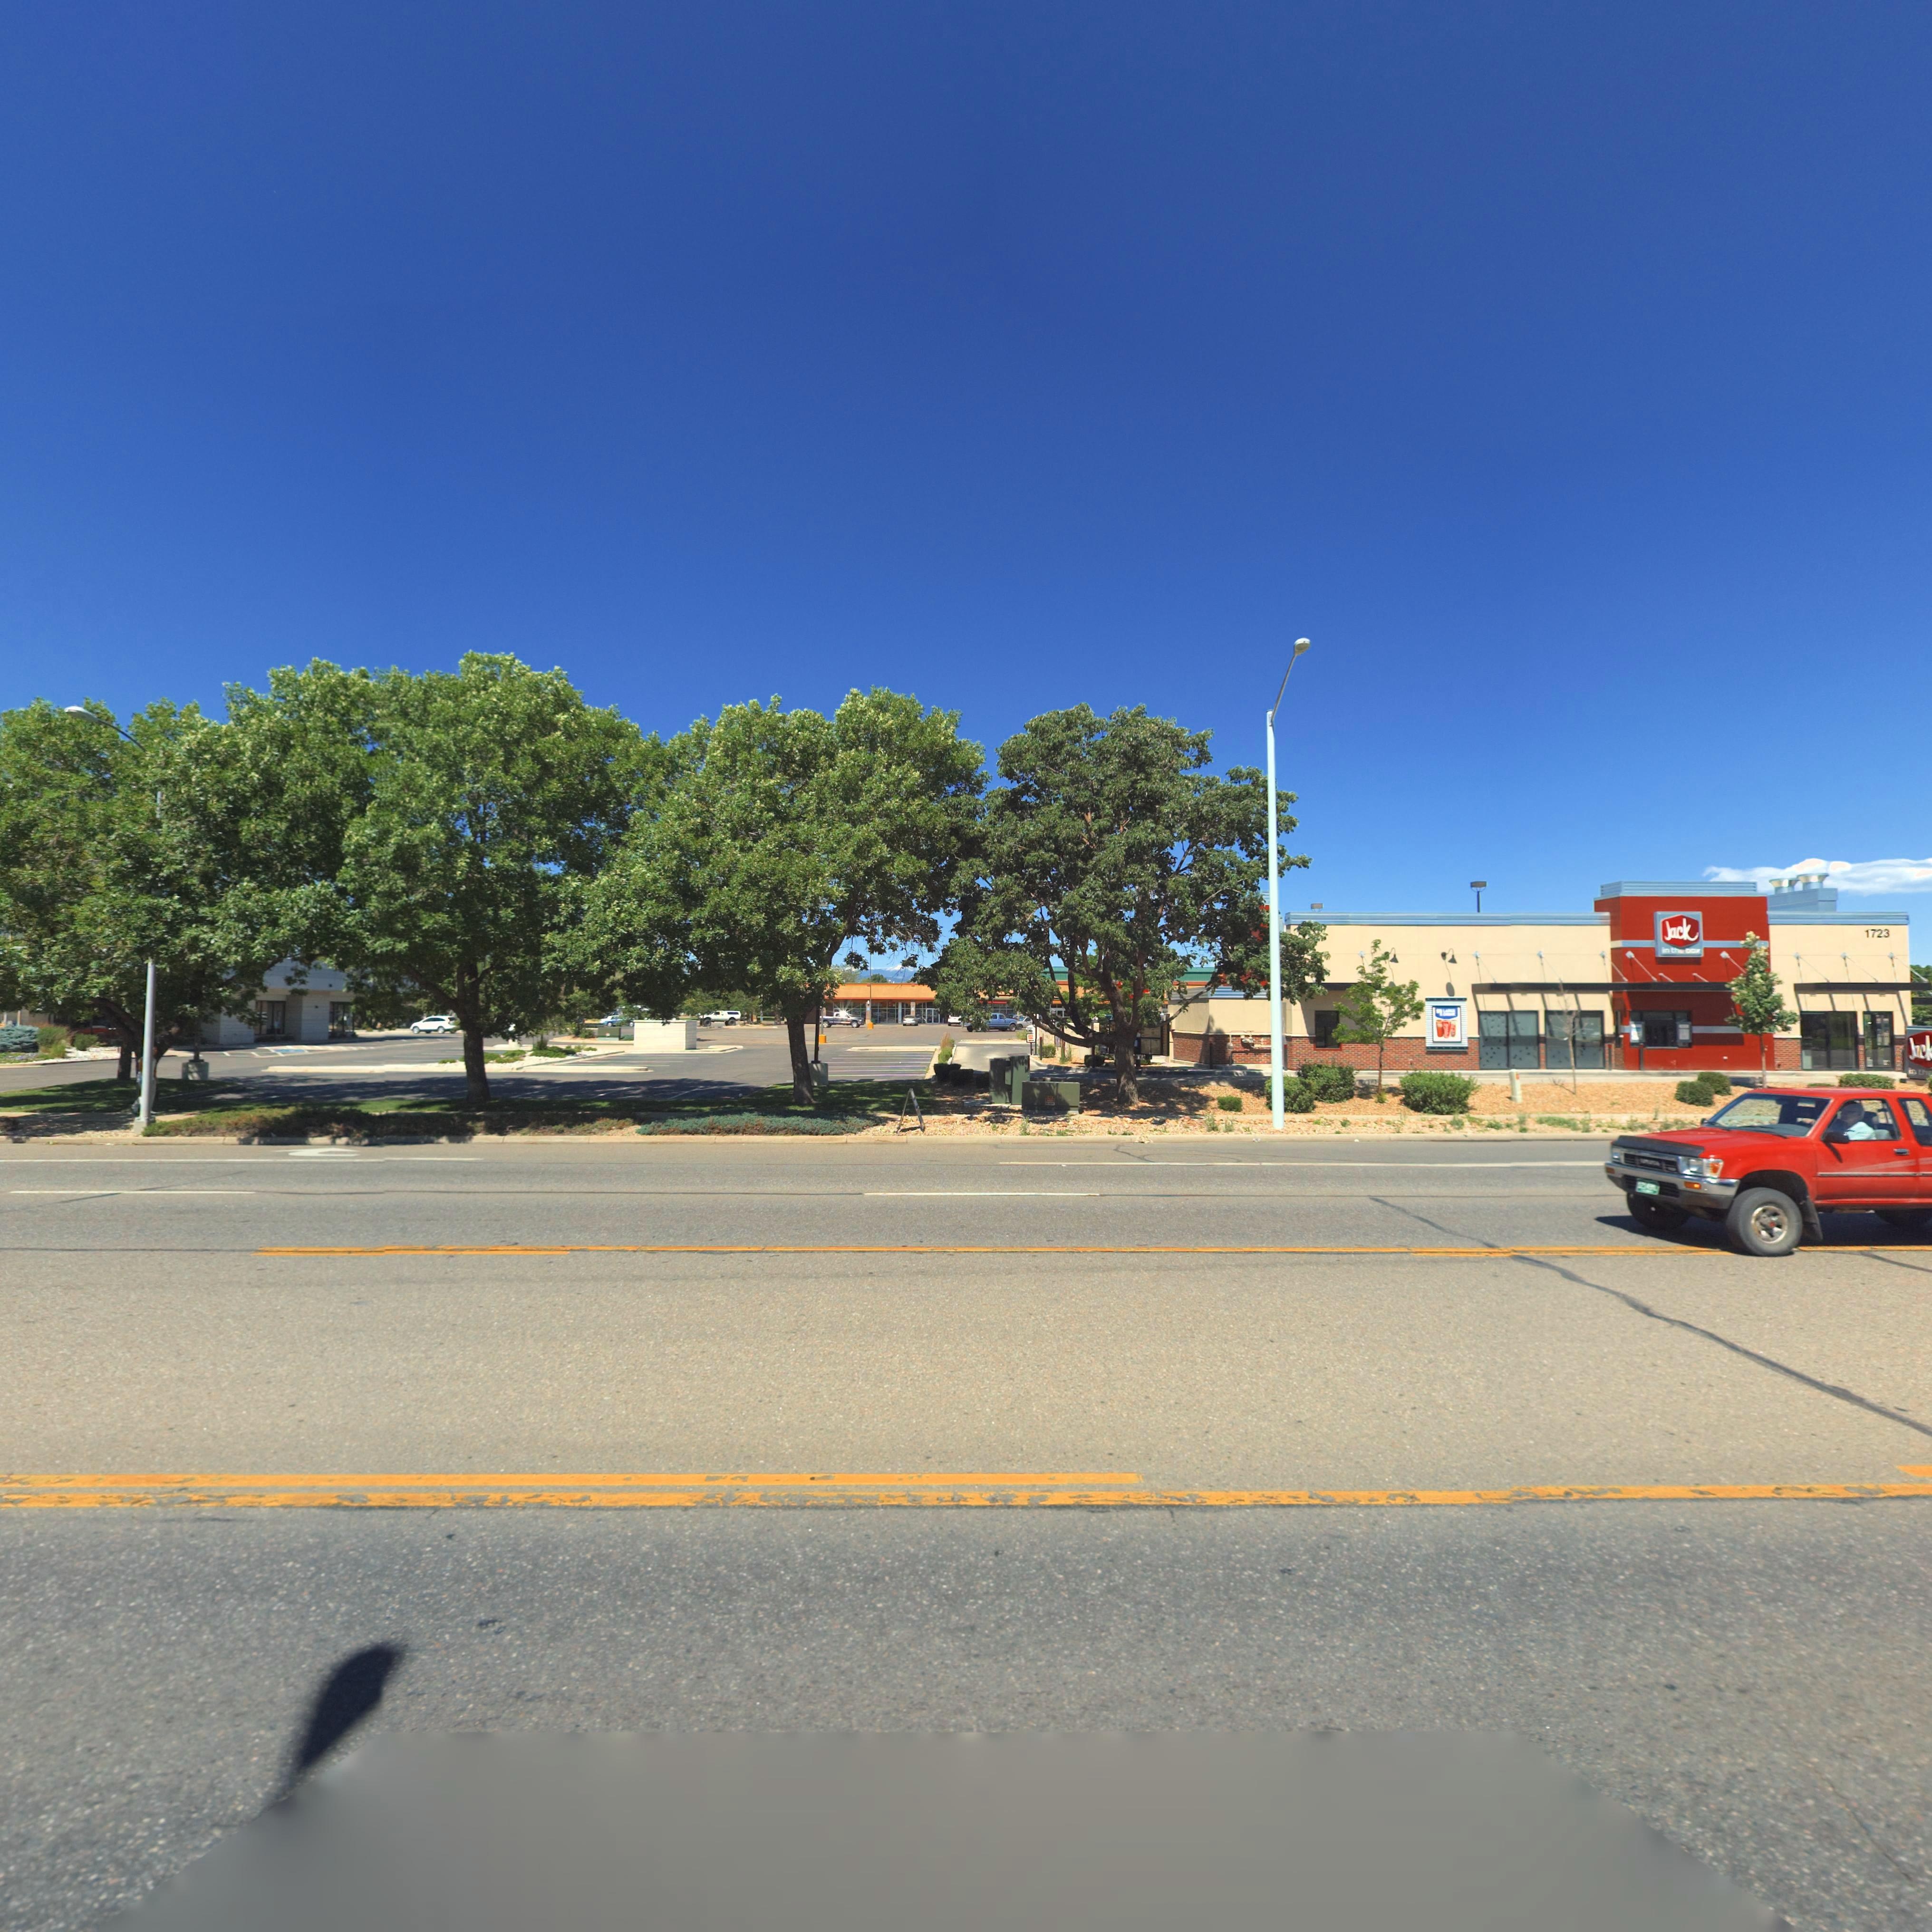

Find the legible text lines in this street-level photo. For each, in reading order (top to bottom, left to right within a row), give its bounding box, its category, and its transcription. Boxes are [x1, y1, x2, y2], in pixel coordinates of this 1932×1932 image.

[1662, 918, 1700, 941] BusinessName: Jack
[1864, 928, 1890, 938] StreetNumber: 1723
[1661, 946, 1701, 953] BusinessName: in the box
[1907, 1036, 1926, 1061] BusinessName: Jac
[1908, 1066, 1927, 1075] BusinessName: in t*